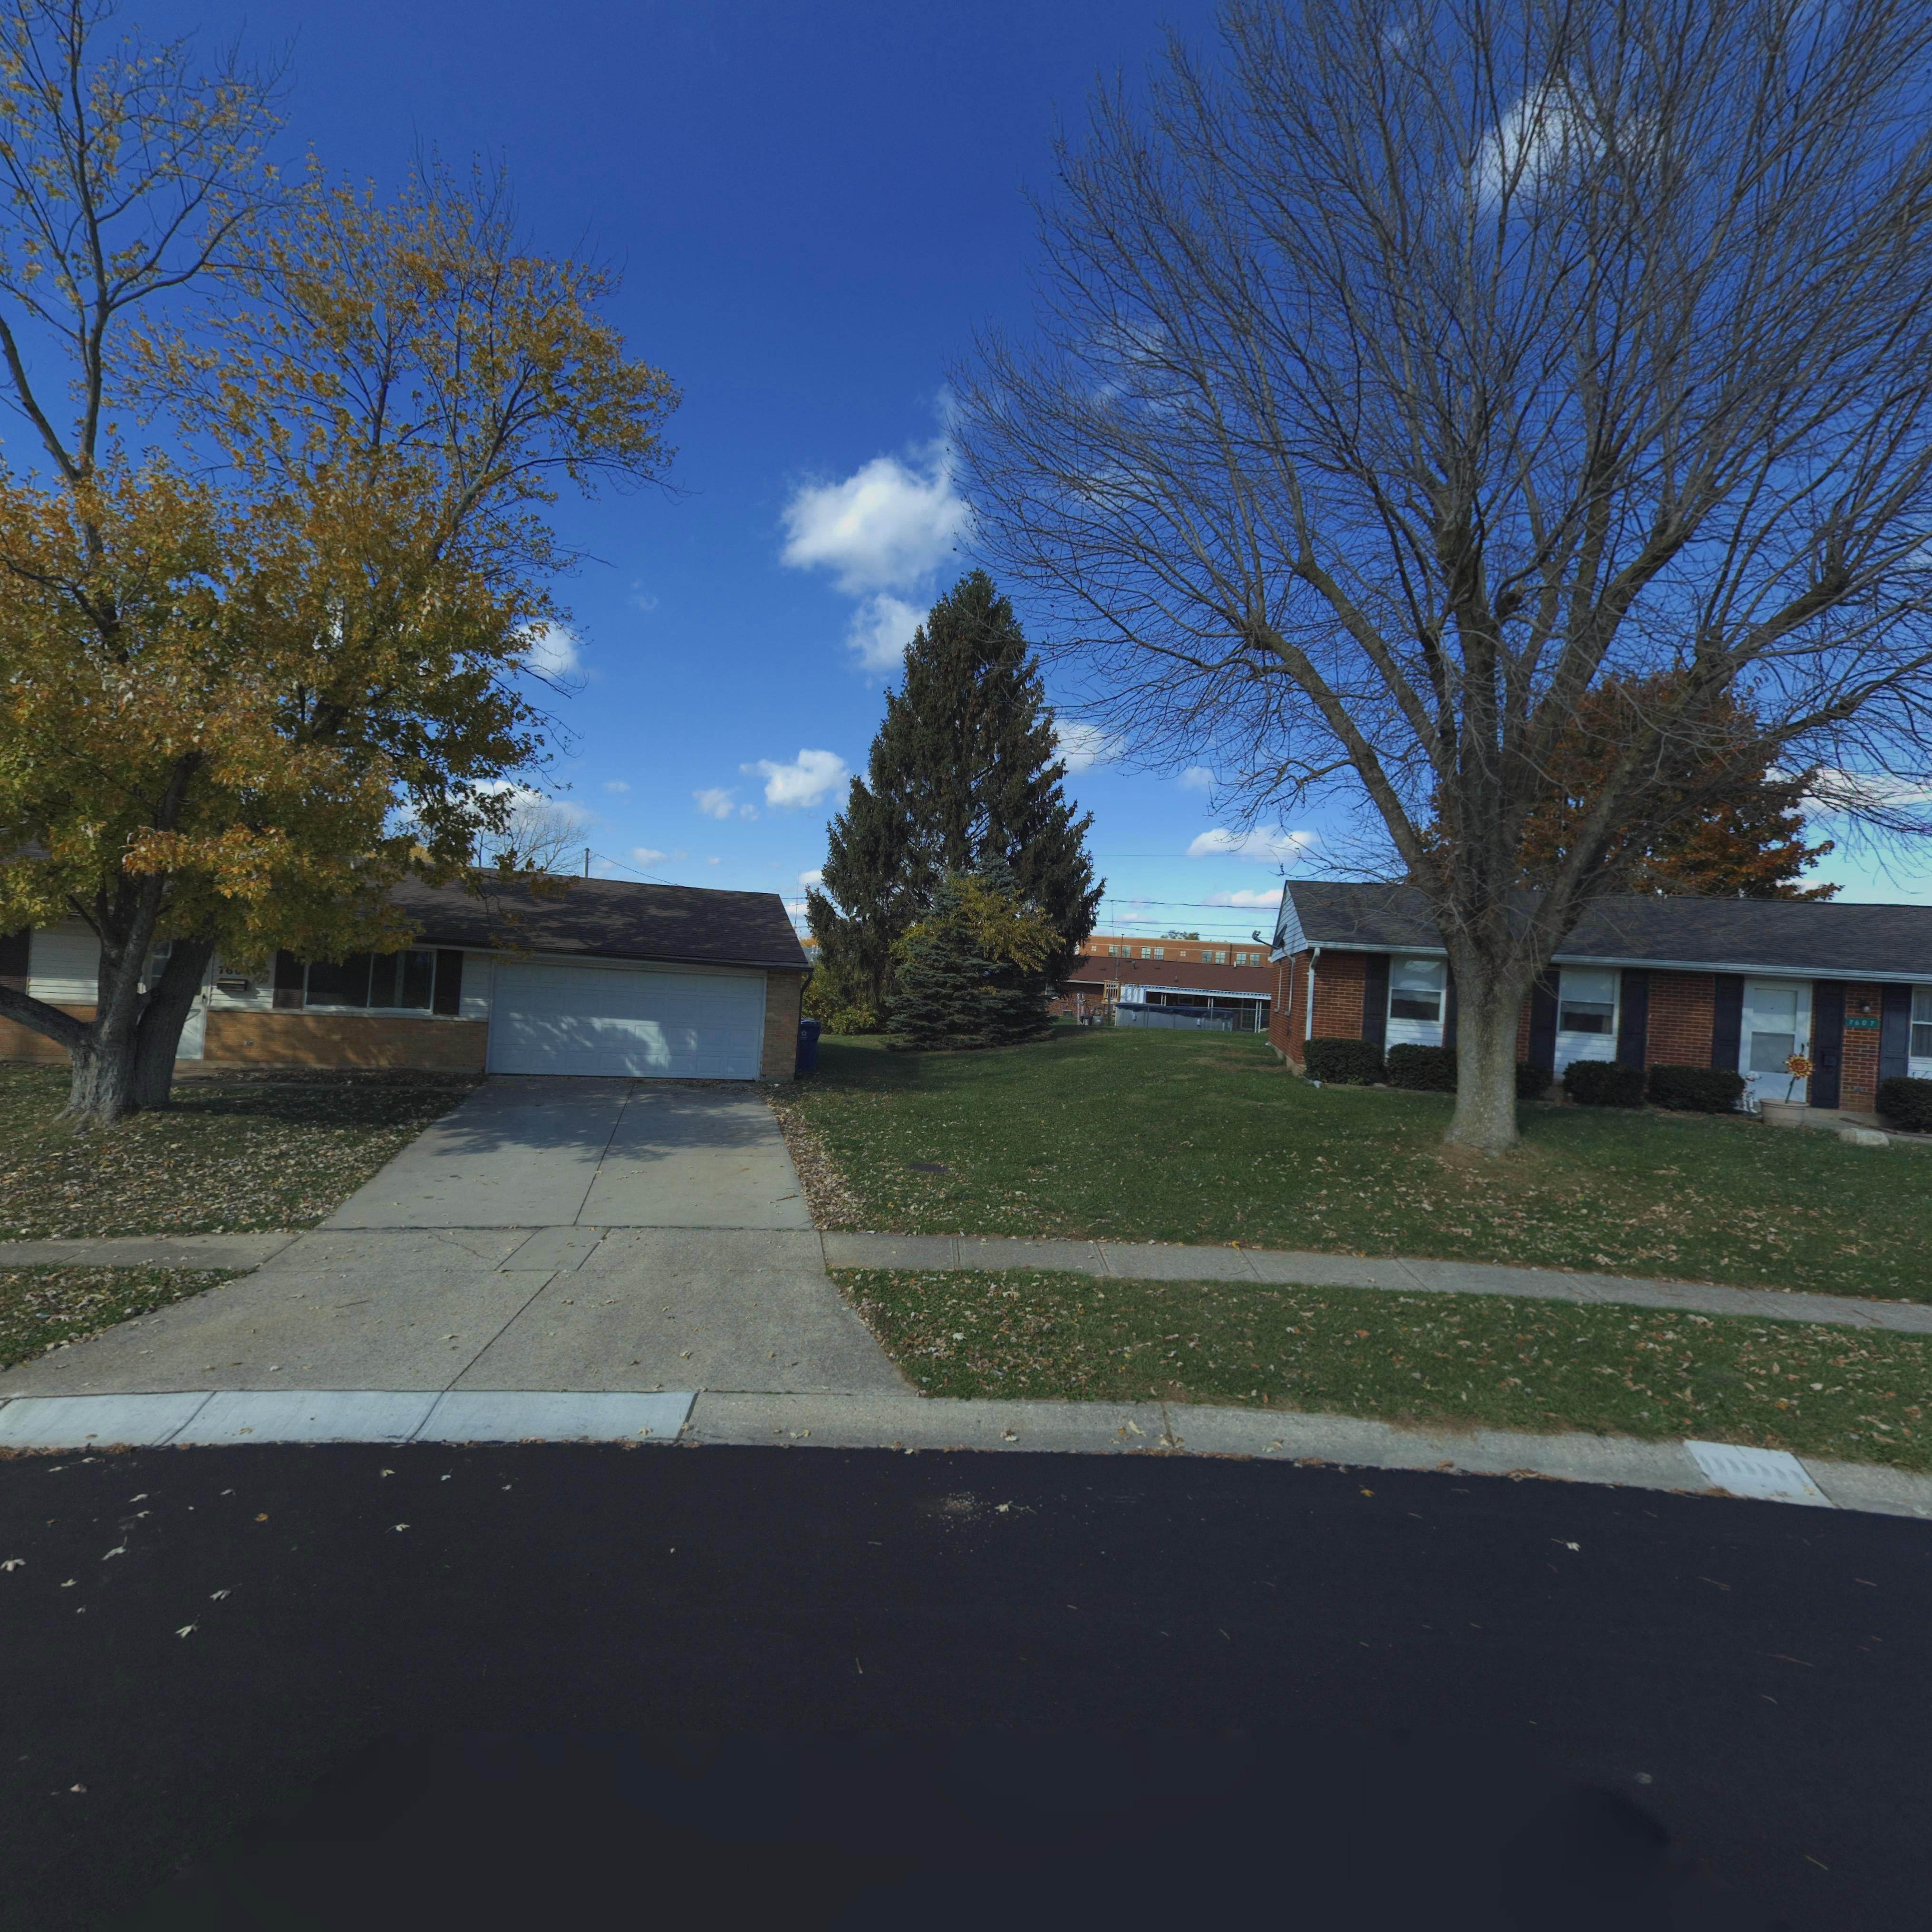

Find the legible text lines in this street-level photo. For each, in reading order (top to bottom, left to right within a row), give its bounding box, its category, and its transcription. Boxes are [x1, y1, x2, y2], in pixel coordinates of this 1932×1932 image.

[218, 965, 224, 975] StreetNumber: 7
[1848, 1019, 1875, 1027] StreetNumber: 7607